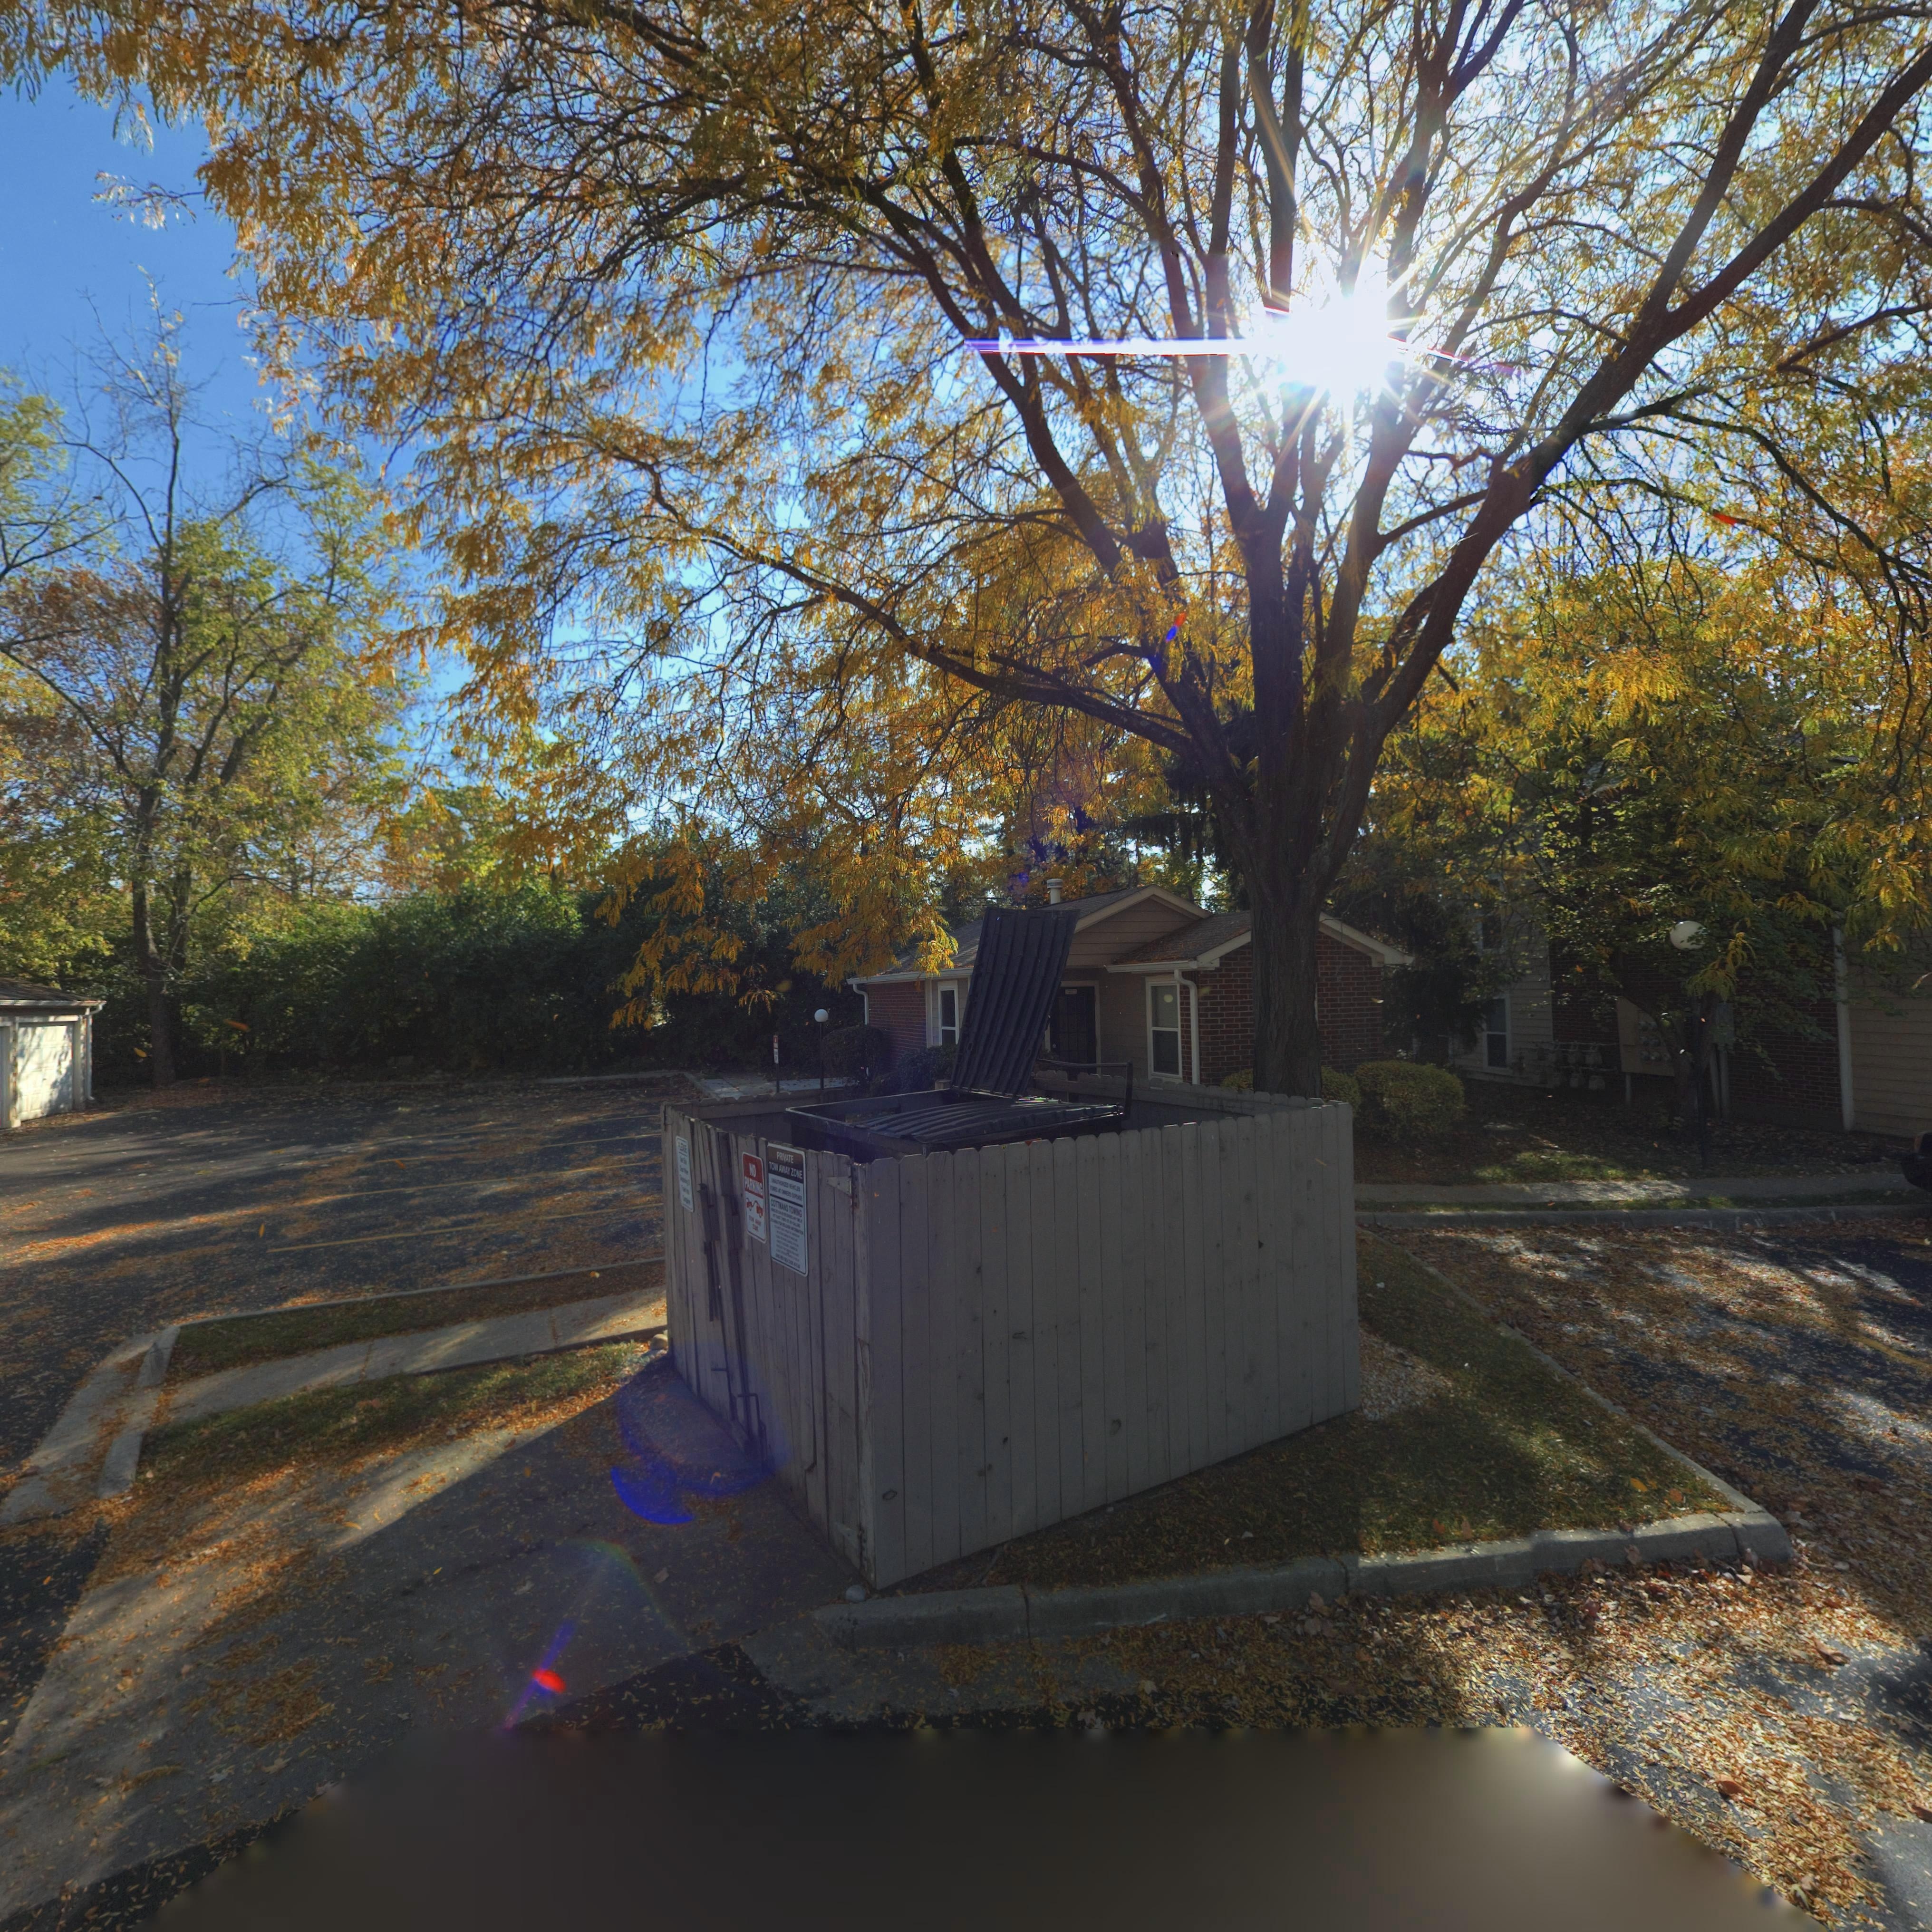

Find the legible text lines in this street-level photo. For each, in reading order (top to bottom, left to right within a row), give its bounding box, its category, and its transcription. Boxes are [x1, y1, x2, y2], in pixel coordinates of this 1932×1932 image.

[776, 1150, 795, 1165] None: PRIVATE
[748, 1162, 757, 1178] None: NO
[768, 1160, 803, 1180] None: TOW AWAY ZONE
[743, 1175, 764, 1198] None: PARK**G
[770, 1198, 803, 1219] None: COTT**** TO